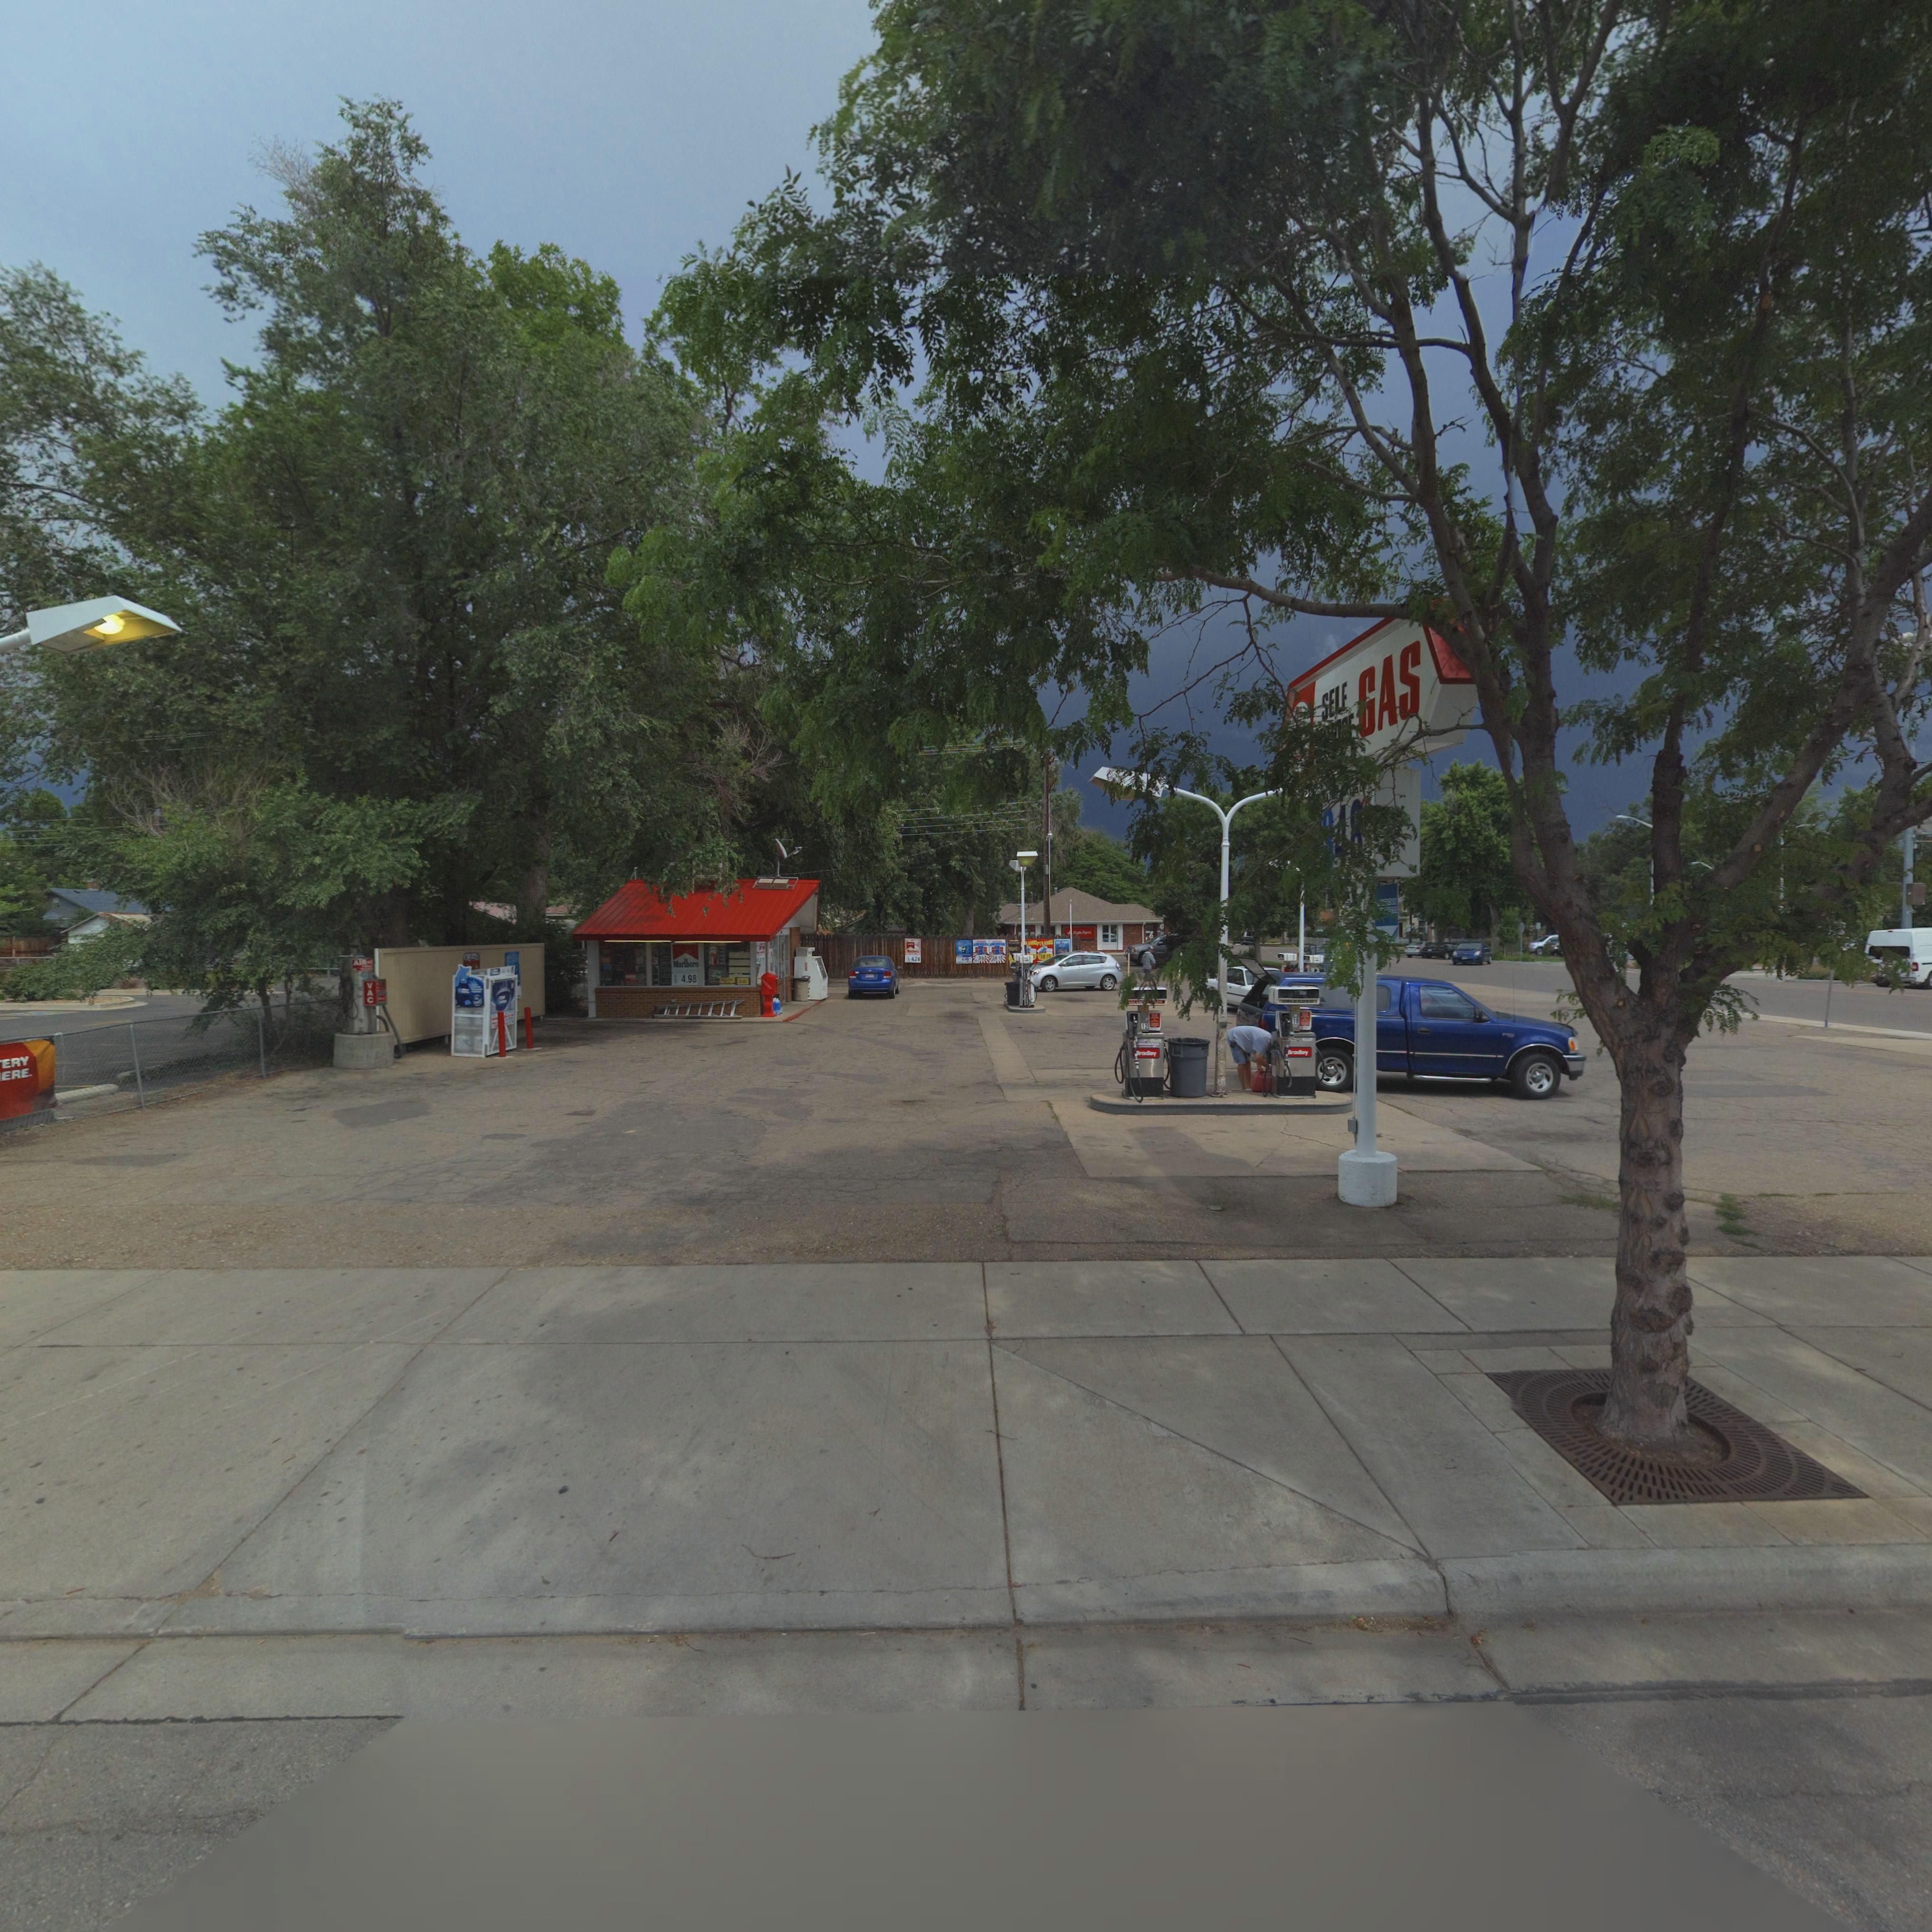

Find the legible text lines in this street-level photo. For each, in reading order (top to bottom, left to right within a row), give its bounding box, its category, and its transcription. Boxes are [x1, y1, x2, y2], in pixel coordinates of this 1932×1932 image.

[1072, 930, 1092, 934] BusinessName: StateFarm